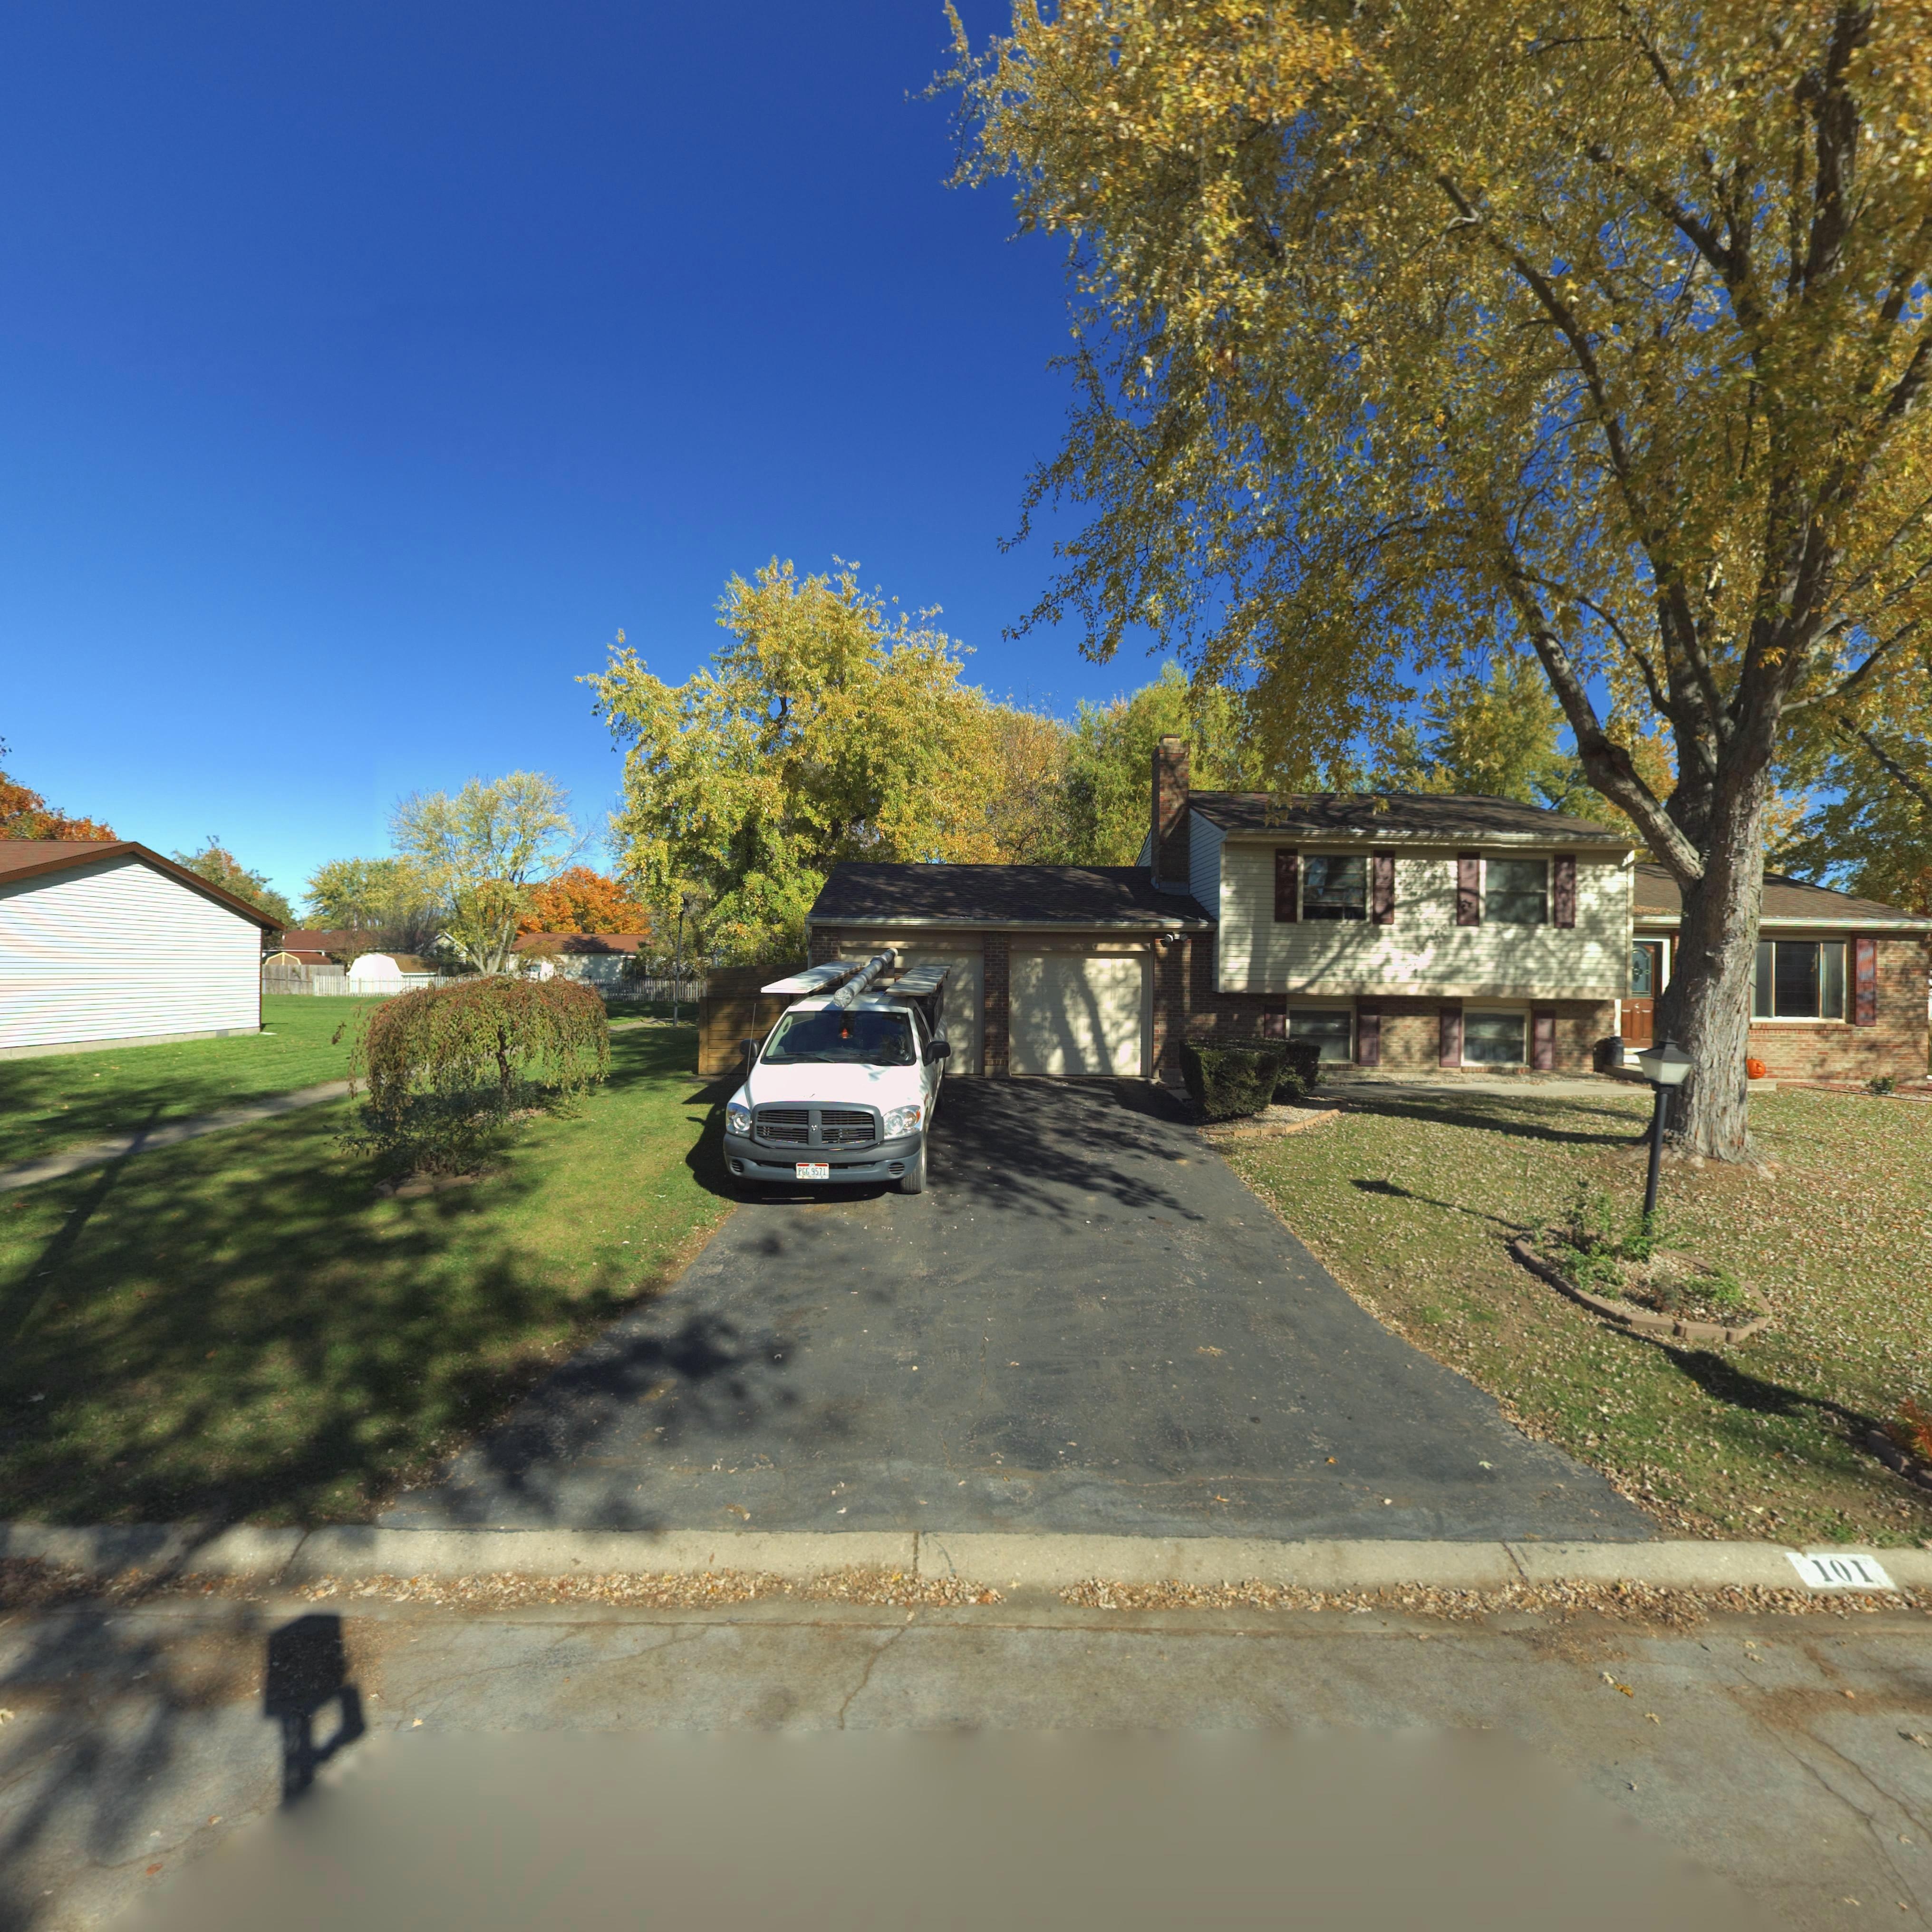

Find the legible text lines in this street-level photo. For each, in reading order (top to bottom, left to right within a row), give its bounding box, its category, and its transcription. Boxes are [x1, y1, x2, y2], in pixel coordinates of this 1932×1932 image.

[1806, 1557, 1876, 1585] StreetNumber: 101